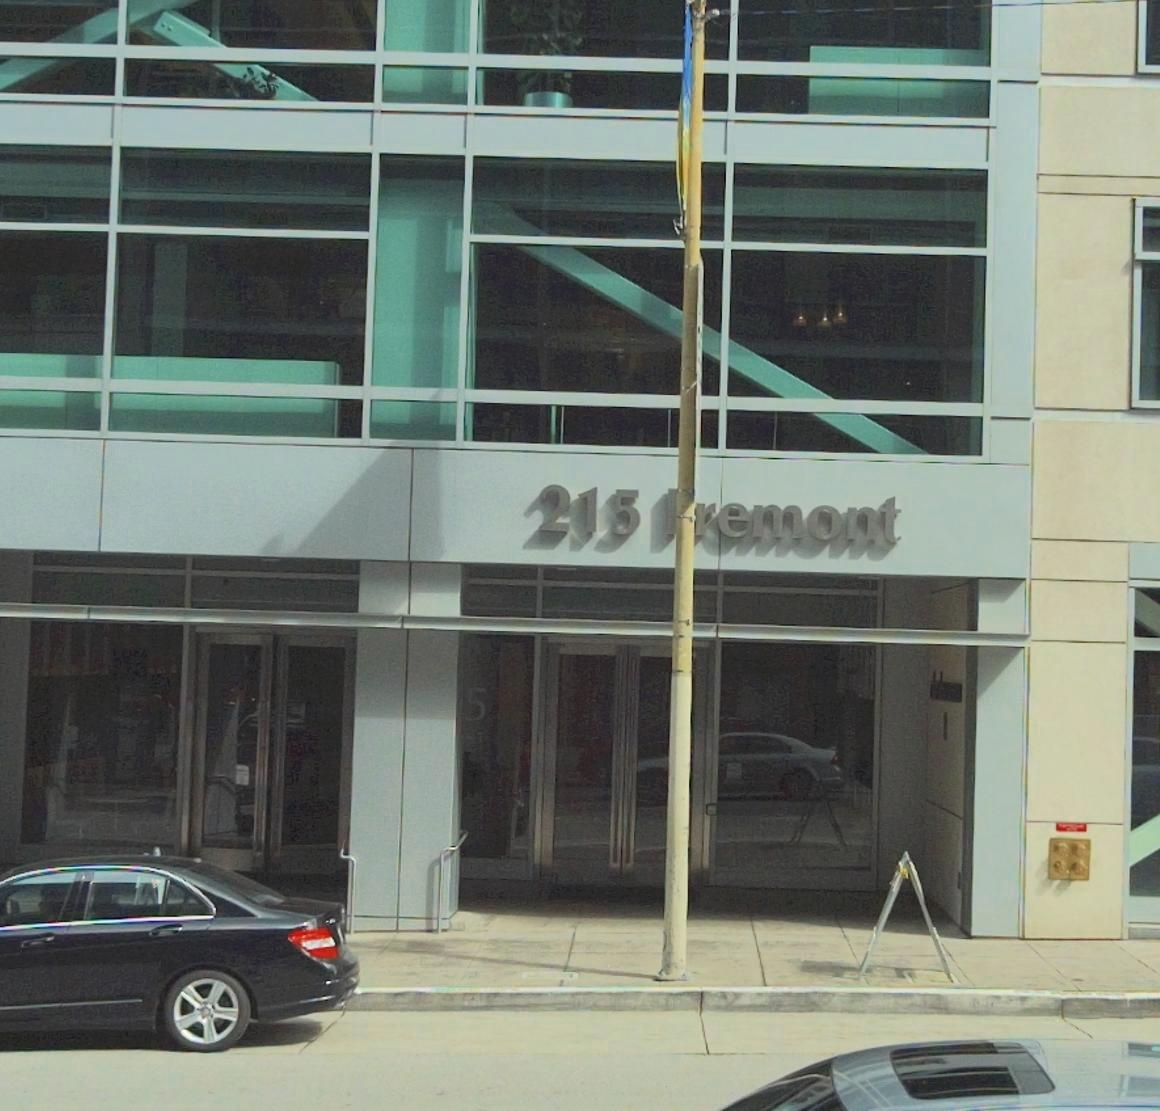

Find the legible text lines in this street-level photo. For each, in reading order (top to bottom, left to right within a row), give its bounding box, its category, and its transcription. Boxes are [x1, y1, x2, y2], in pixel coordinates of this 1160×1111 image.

[537, 482, 641, 536] StreetNumber: 215
[666, 487, 903, 545] StreetName: *remont
[463, 686, 488, 721] None: 5